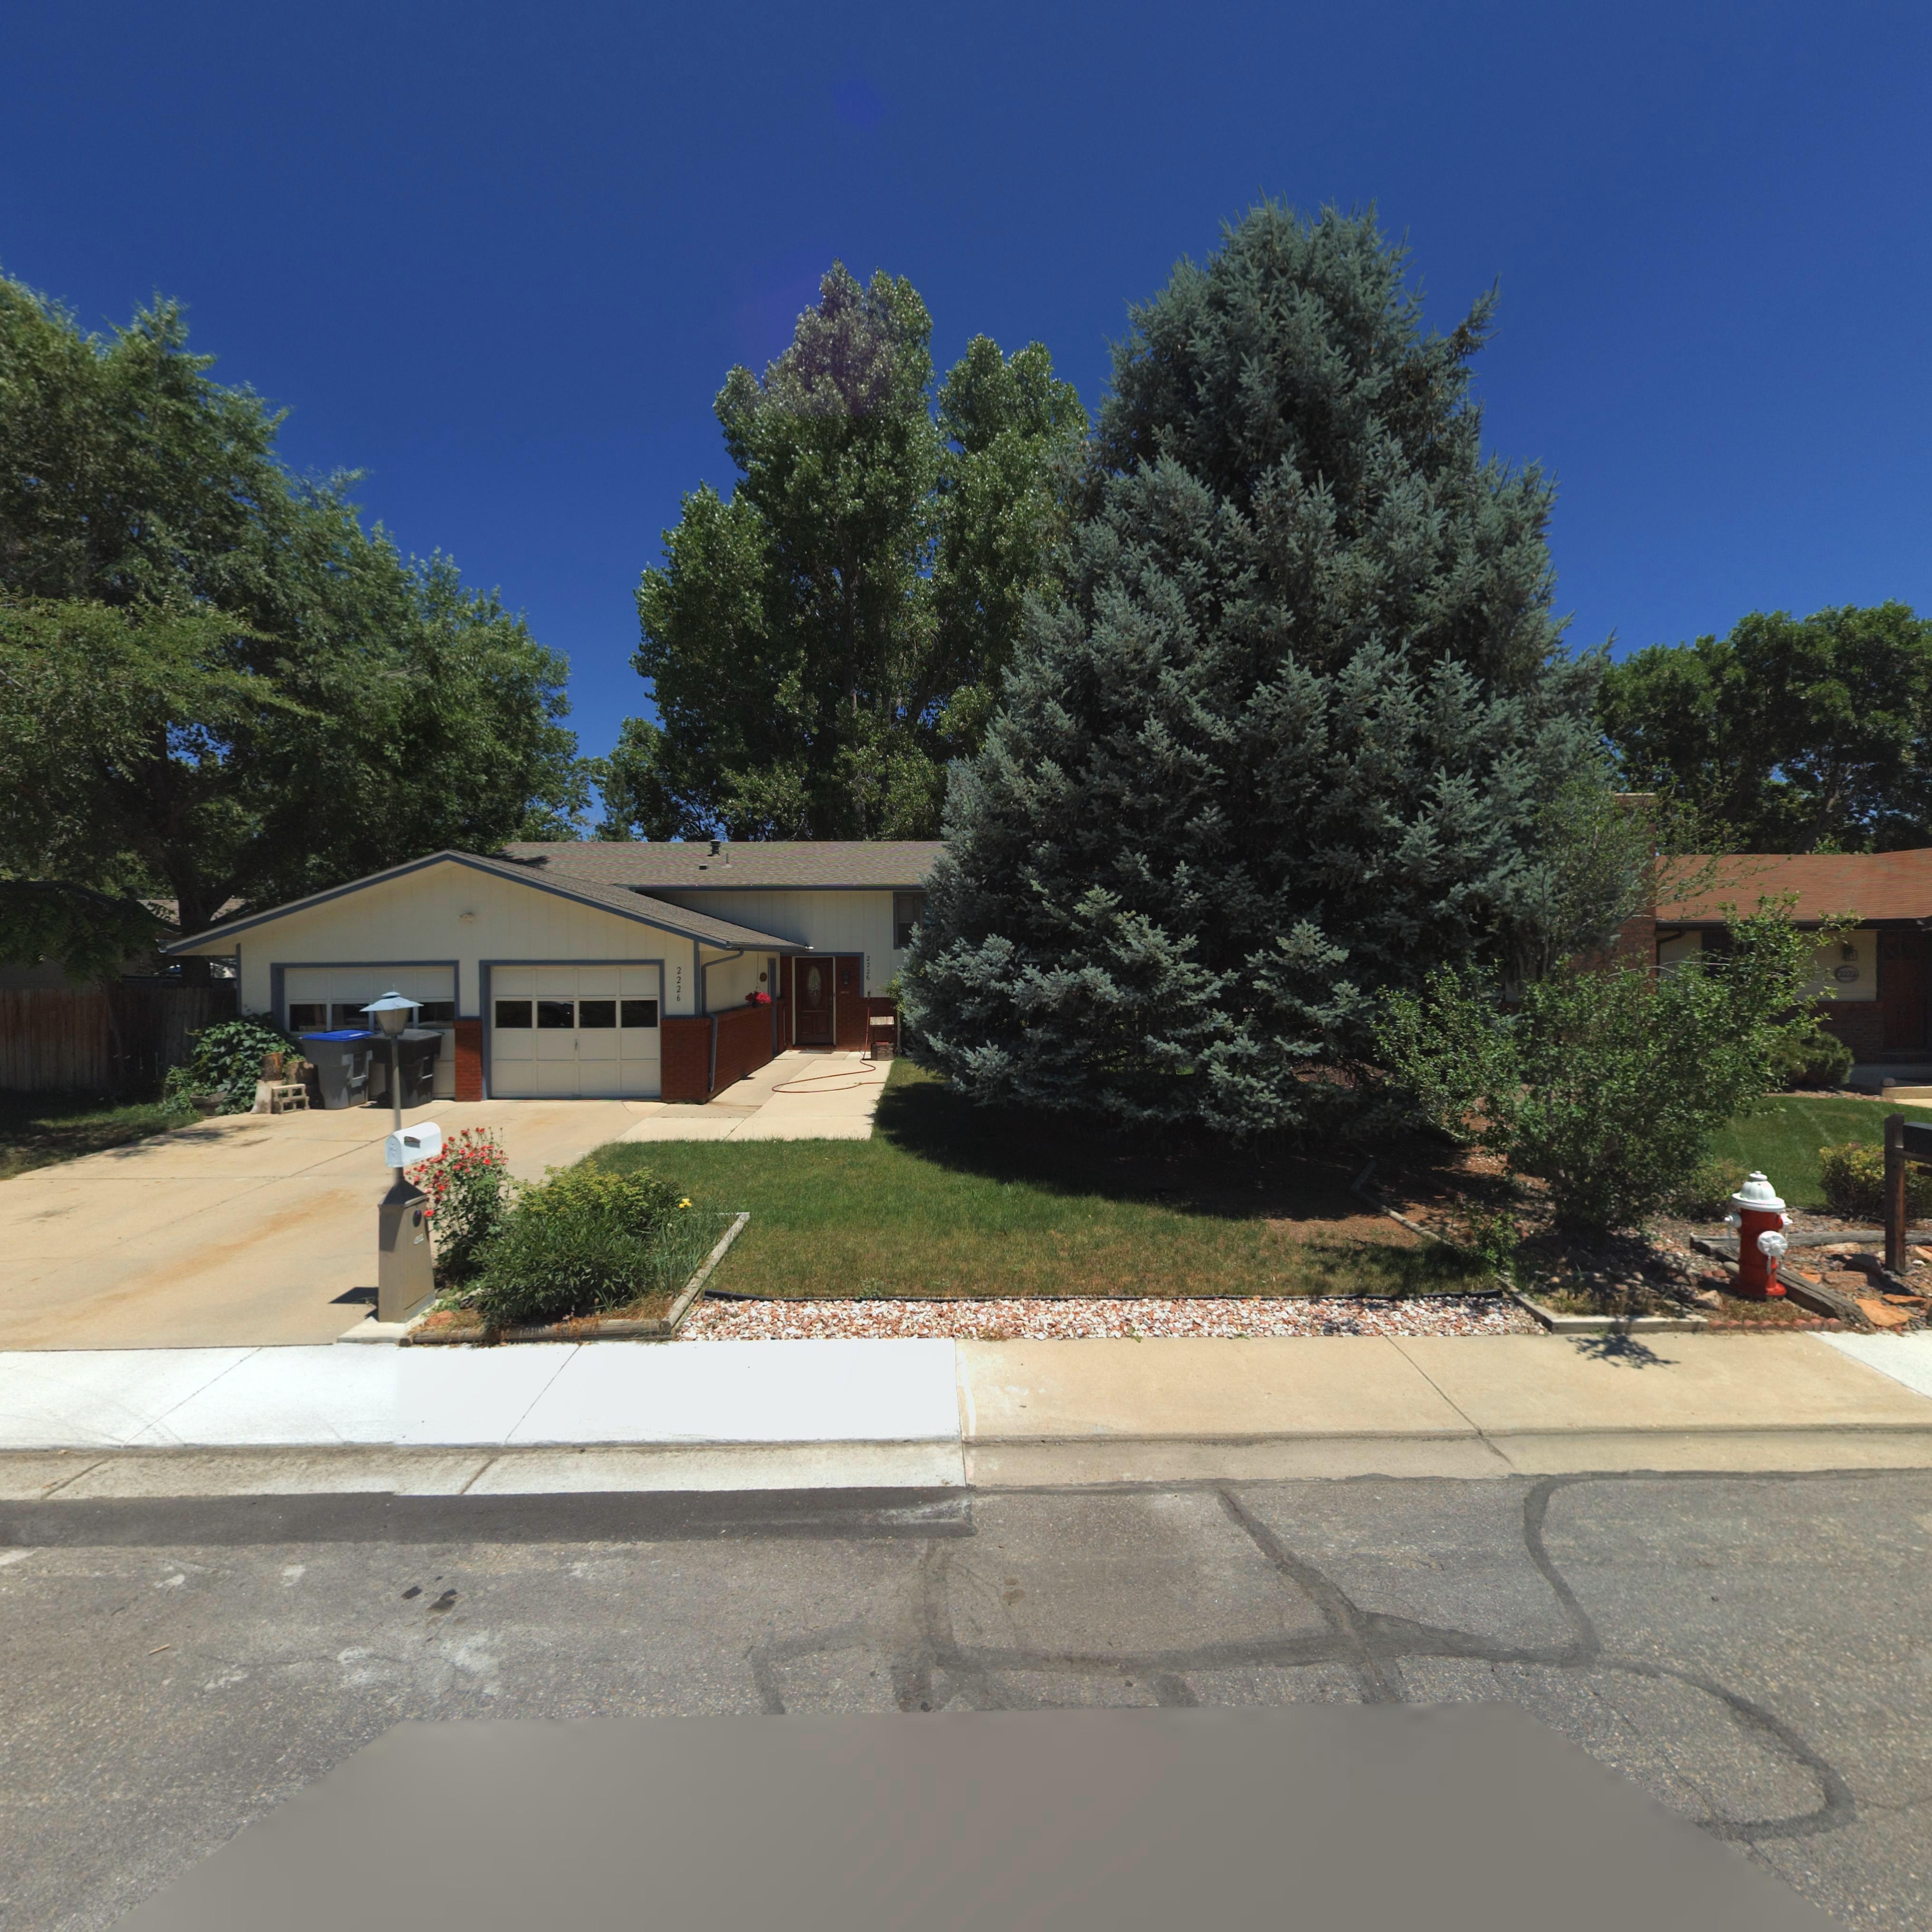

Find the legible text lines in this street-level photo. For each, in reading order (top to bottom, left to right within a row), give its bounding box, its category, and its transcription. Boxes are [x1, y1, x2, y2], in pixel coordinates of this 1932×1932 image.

[676, 966, 681, 1002] StreetNumber: 2226
[866, 955, 870, 980] StreetNumber: 2226
[1837, 970, 1857, 977] StreetNumber: 2222